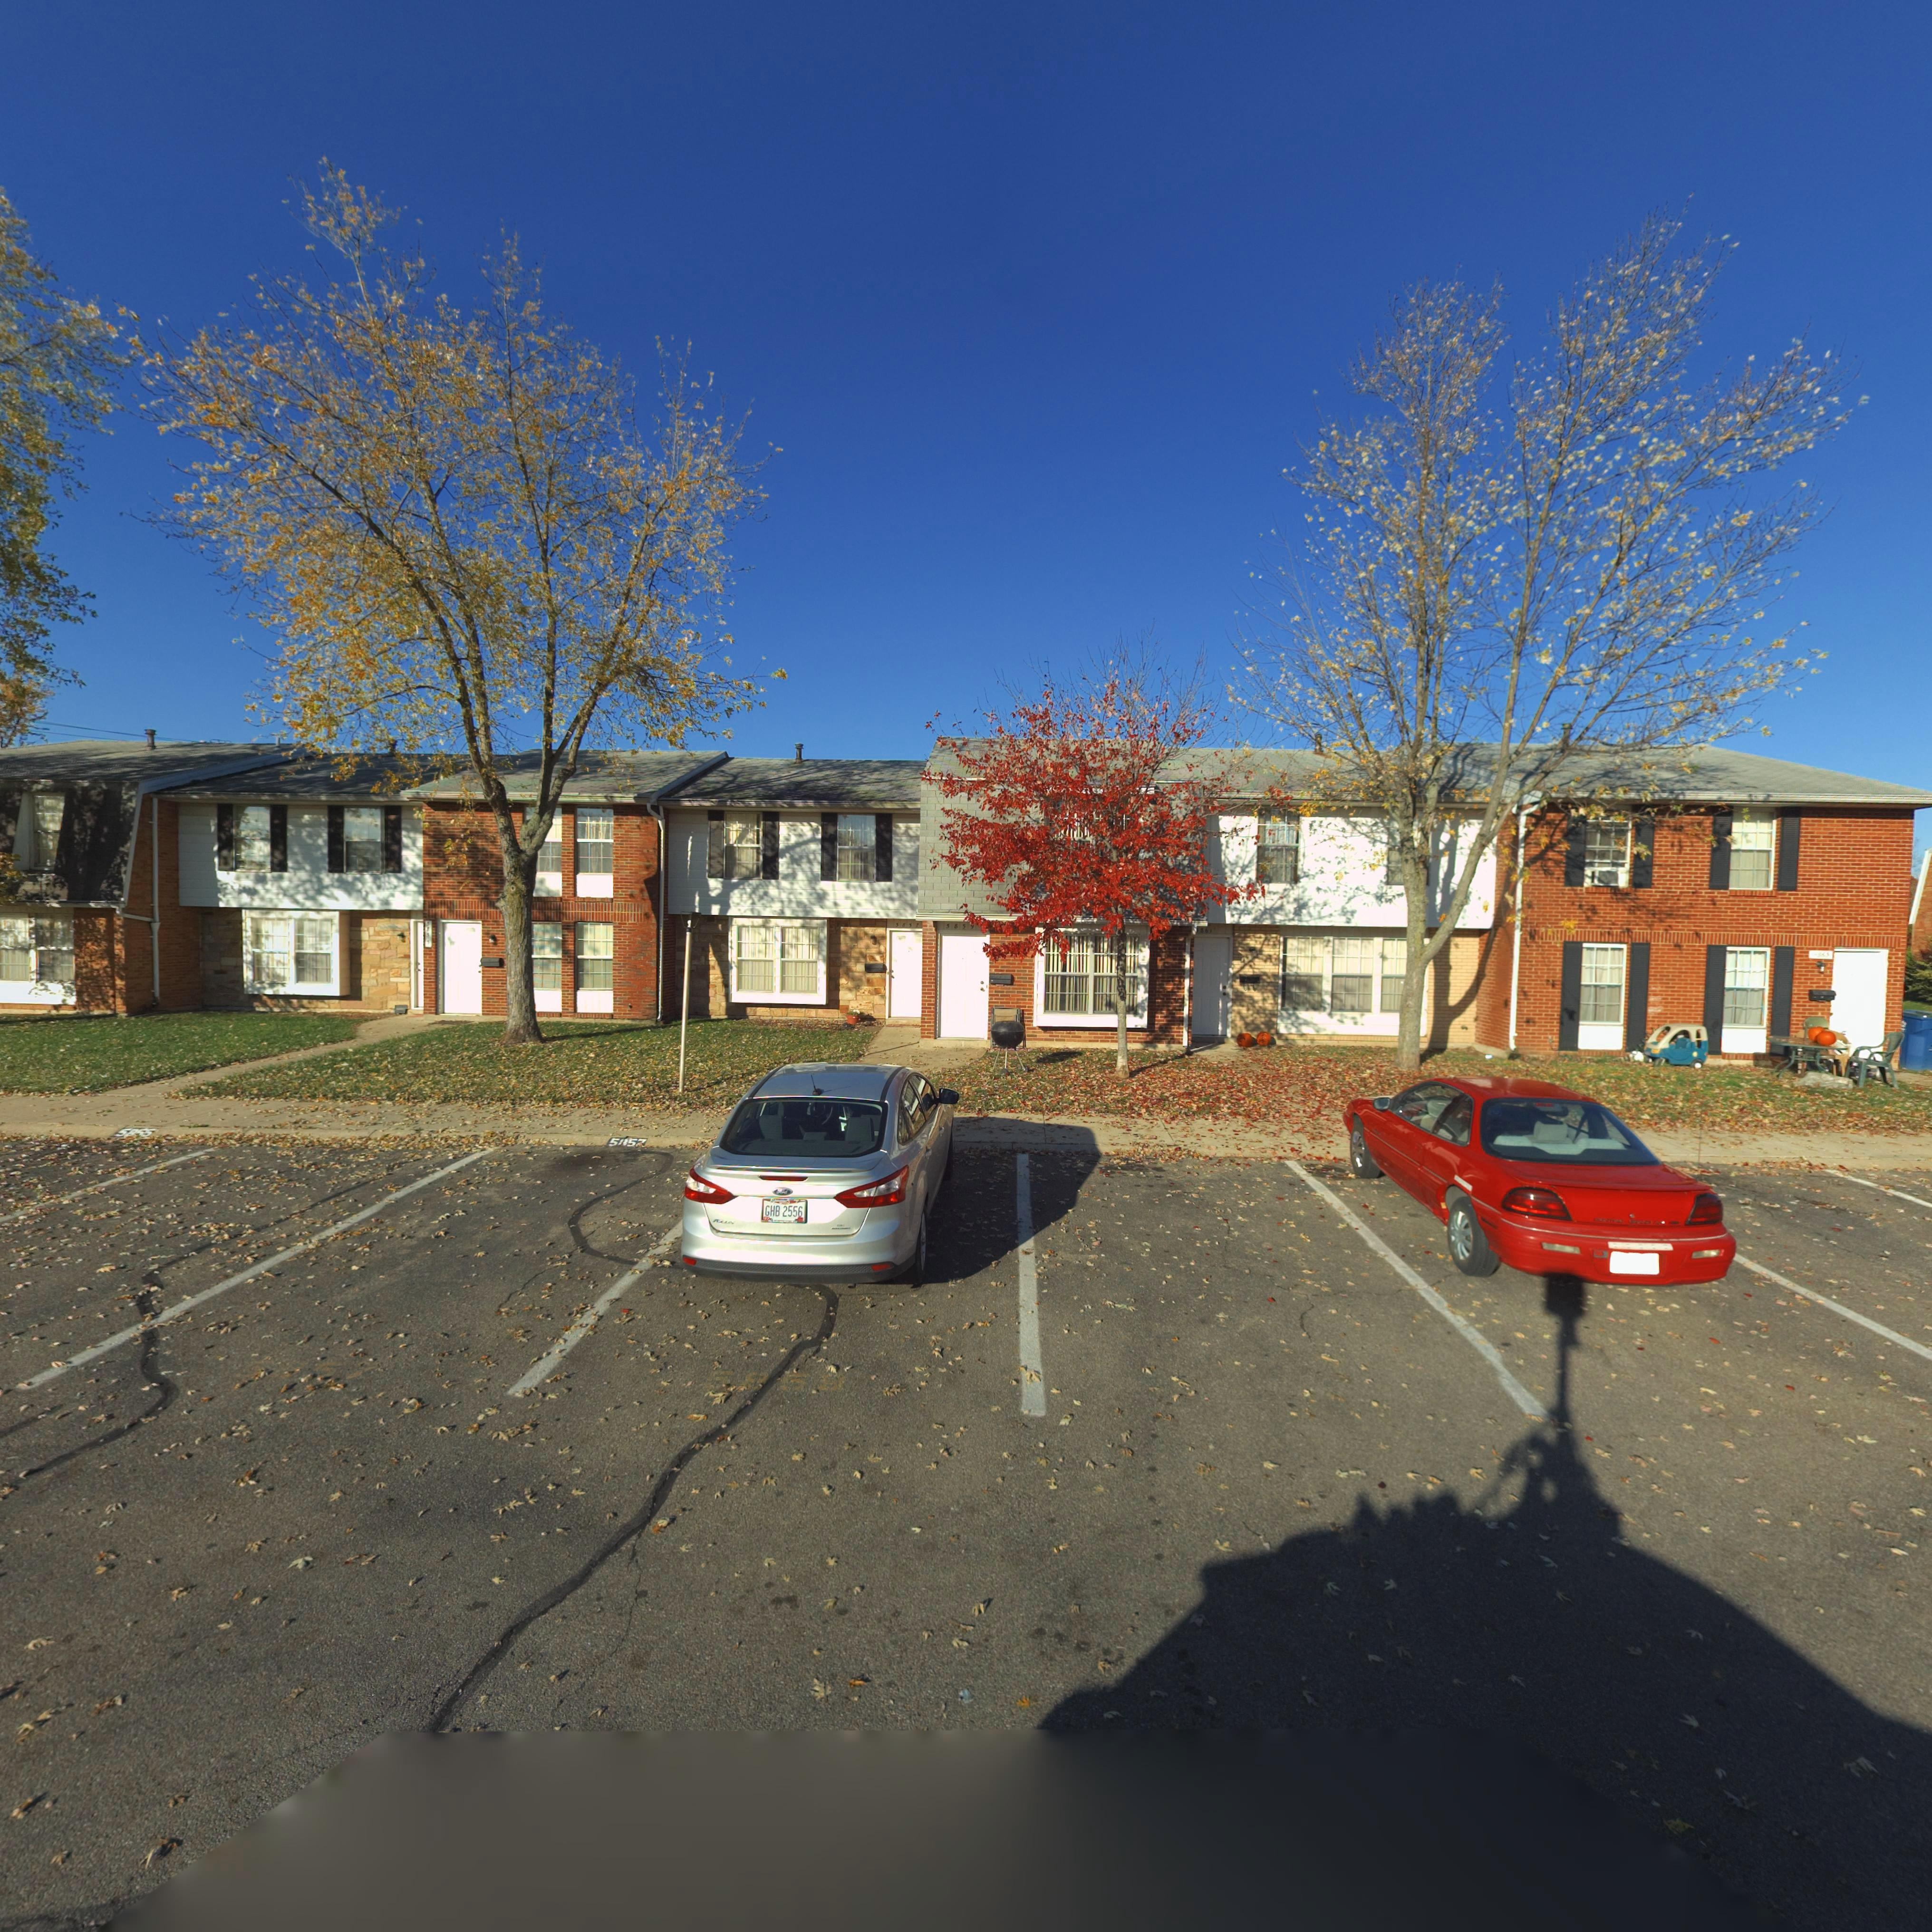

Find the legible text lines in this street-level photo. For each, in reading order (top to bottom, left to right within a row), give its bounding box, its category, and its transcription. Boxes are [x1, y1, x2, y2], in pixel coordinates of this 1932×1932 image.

[425, 920, 432, 946] StreetNumber: ***5
[894, 922, 920, 928] StreetNumber: 58*7
[945, 923, 976, 930] StreetNumber: 585*
[1199, 927, 1213, 935] StreetNumber: 86*
[112, 1127, 157, 1138] StreetNumber: 58*5
[608, 1137, 647, 1148] StreetNumber: 5*5*